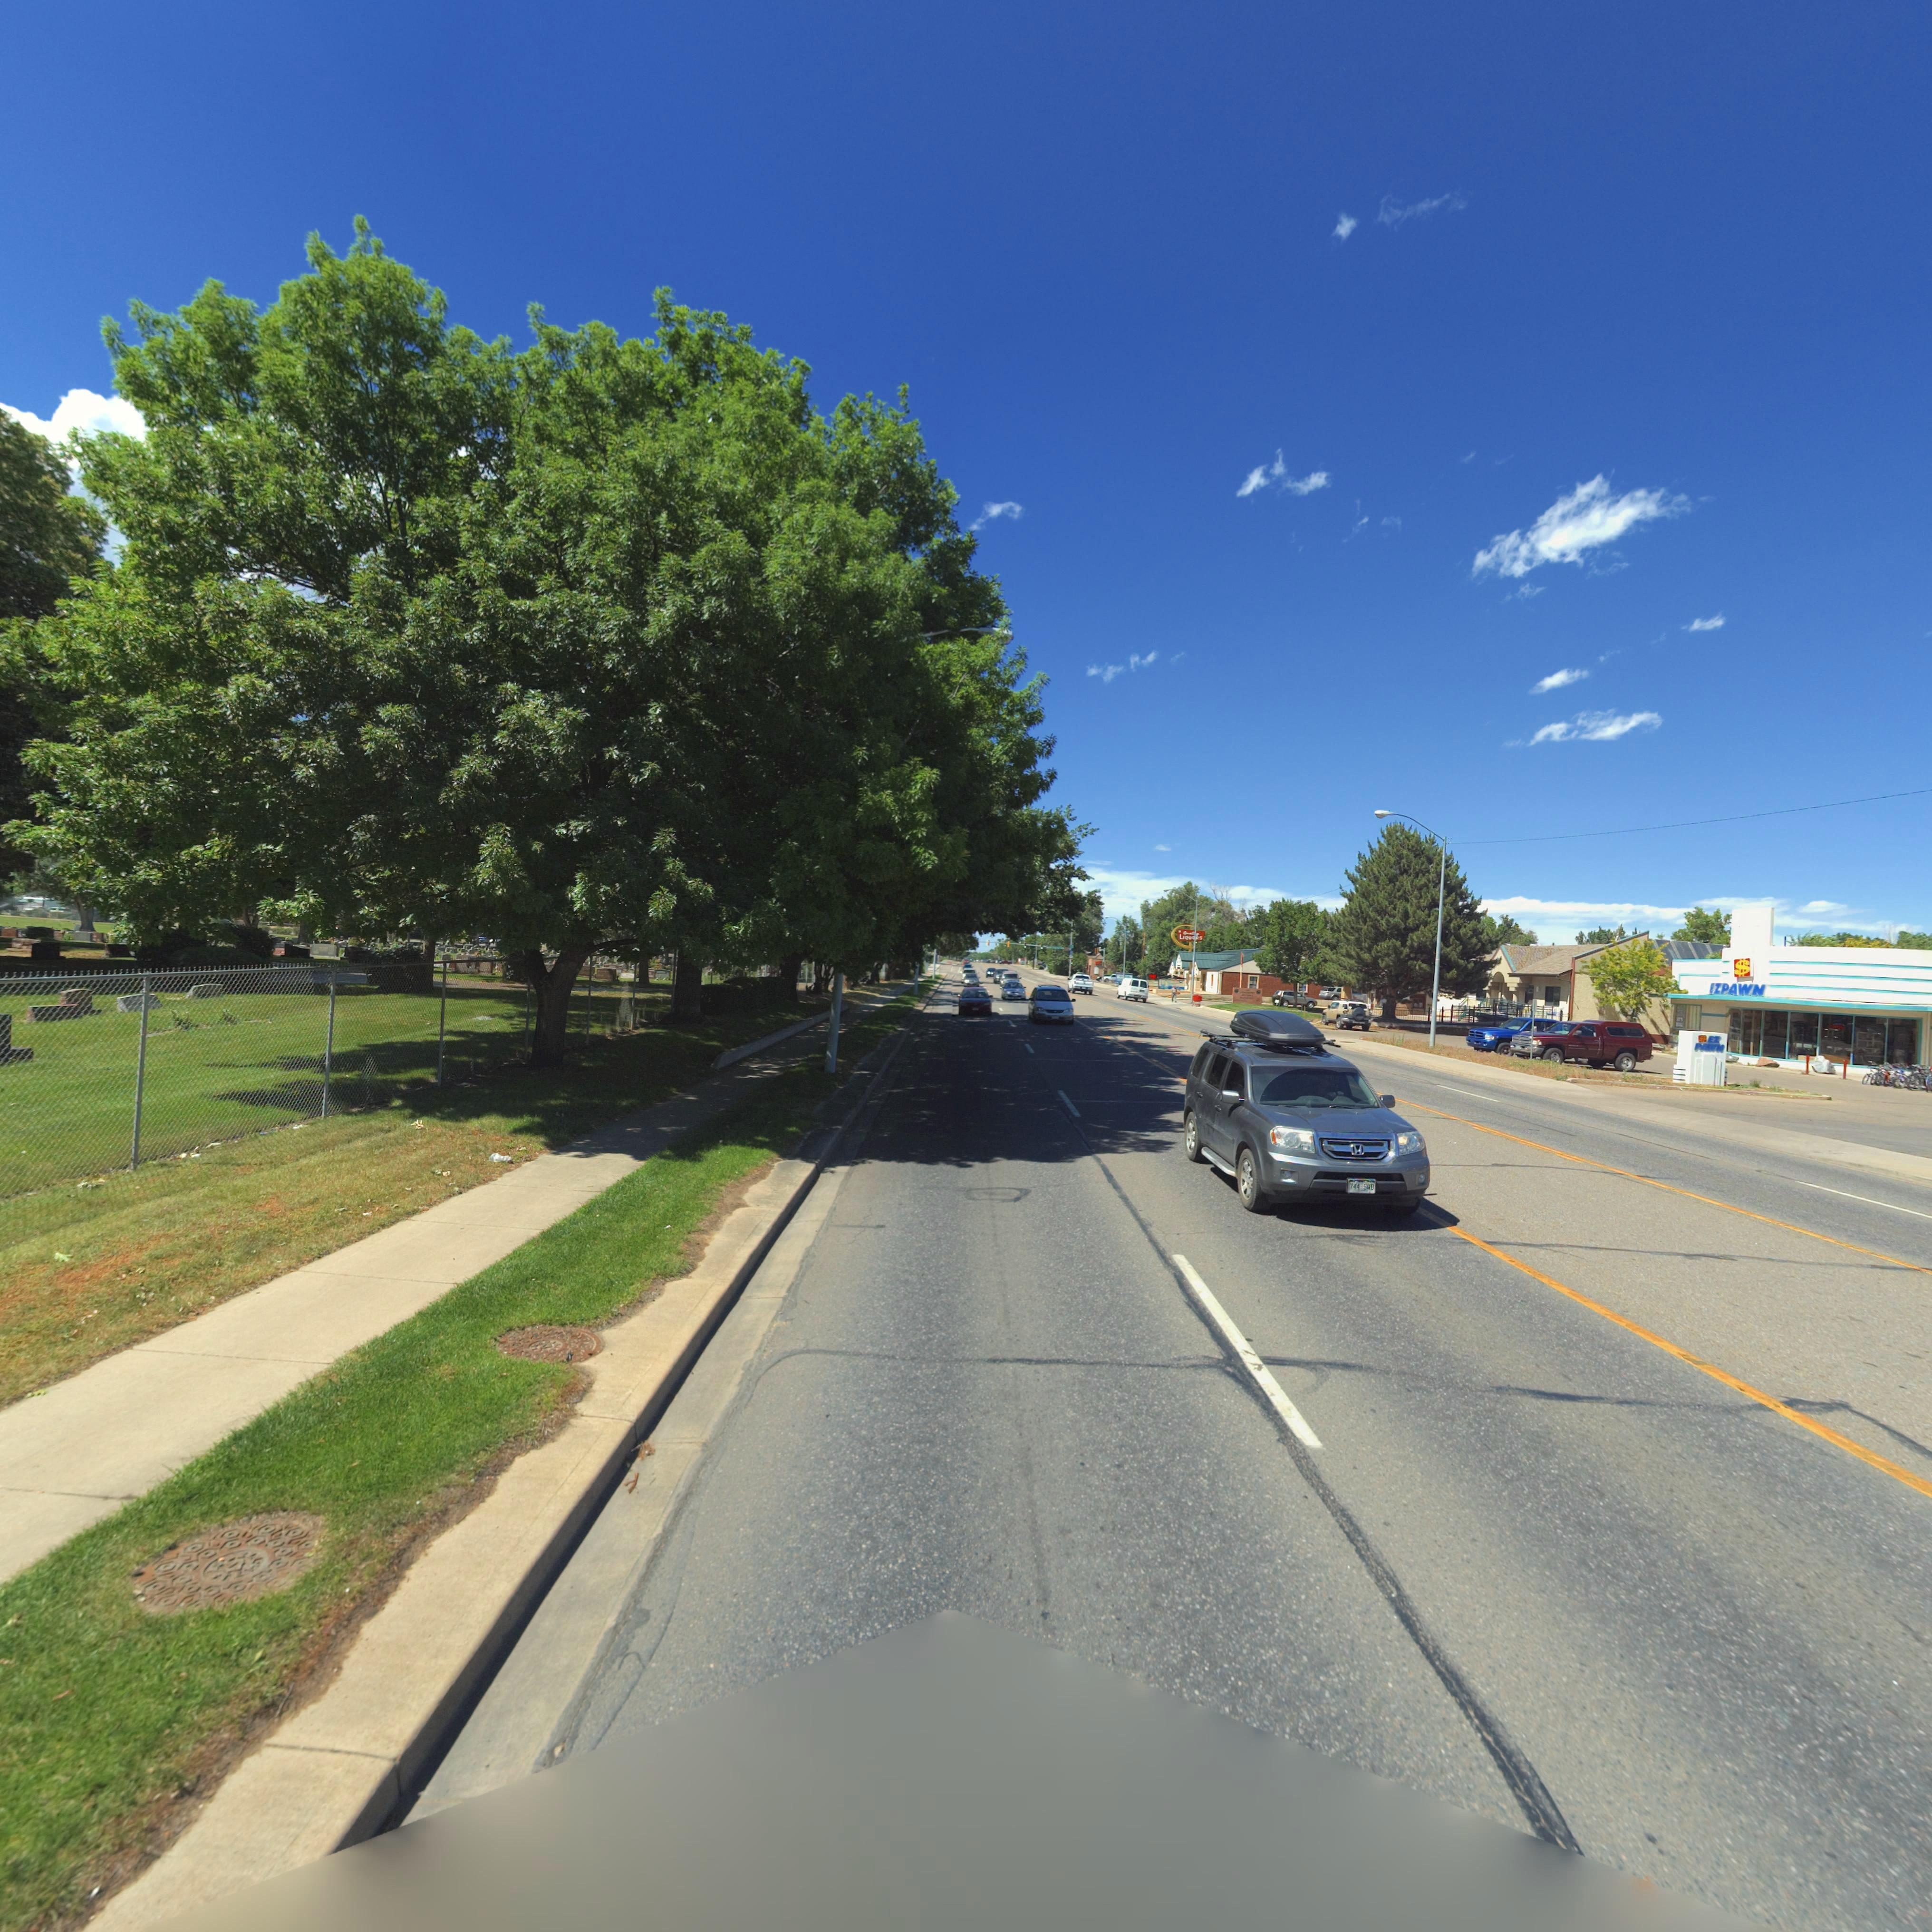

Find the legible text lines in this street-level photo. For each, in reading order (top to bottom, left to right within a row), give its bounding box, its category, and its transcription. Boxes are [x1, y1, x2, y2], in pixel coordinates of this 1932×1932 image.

[1182, 930, 1199, 936] BusinessName: Q******
[1179, 933, 1202, 940] BusinessName: LIQU**S
[1709, 982, 1767, 996] BusinessName: *ZPAWN
[1706, 1035, 1721, 1043] BusinessName: EZ
[1693, 1042, 1725, 1053] BusinessName: PAWN